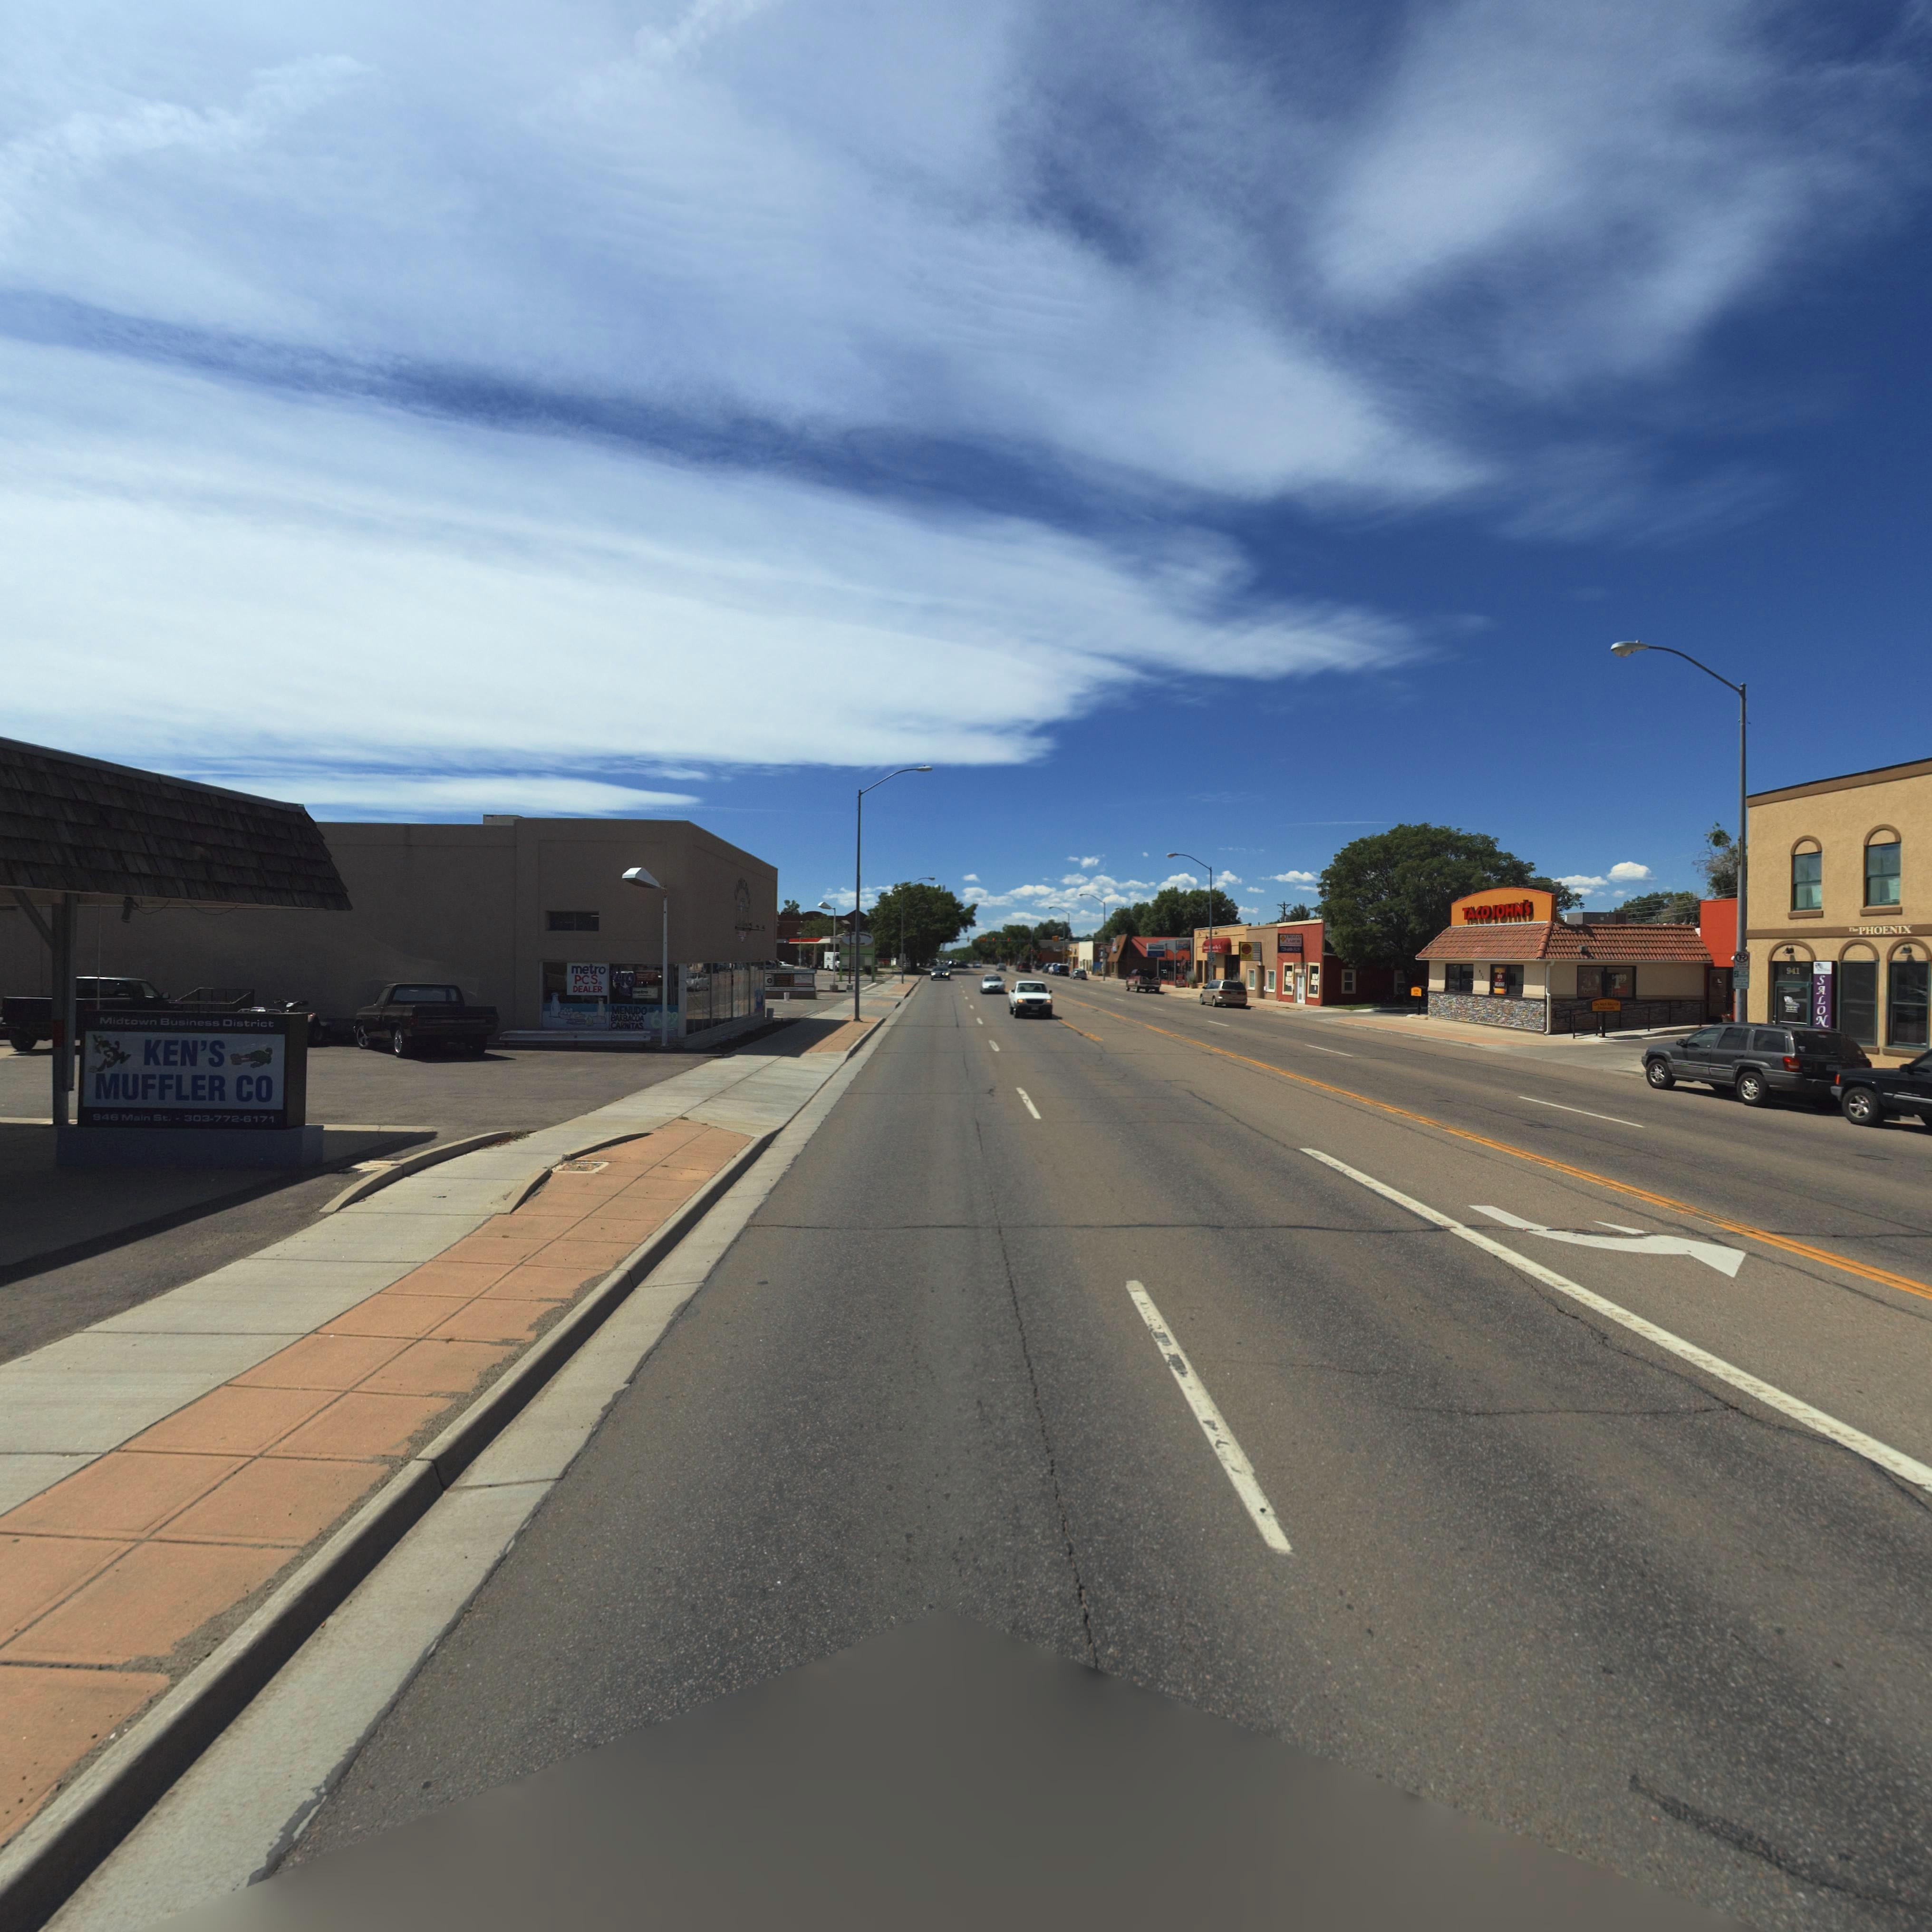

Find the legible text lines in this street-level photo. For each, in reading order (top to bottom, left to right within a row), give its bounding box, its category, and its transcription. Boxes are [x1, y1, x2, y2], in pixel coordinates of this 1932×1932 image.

[1461, 898, 1531, 920] BusinessName: TACO JOHN'S
[1847, 925, 1912, 935] BusinessName: The PHOENIX
[1286, 939, 1300, 943] BusinessName: LABOR
[1285, 935, 1301, 938] BusinessName: TROJAN
[1478, 968, 1484, 979] StreetNumber: 933
[143, 1039, 225, 1068] BusinessName: KEN'S
[95, 1072, 273, 1103] BusinessName: MUFFLER CO
[93, 1113, 118, 1121] StreetNumber: 946
[121, 1114, 171, 1121] StreetName: Main St.